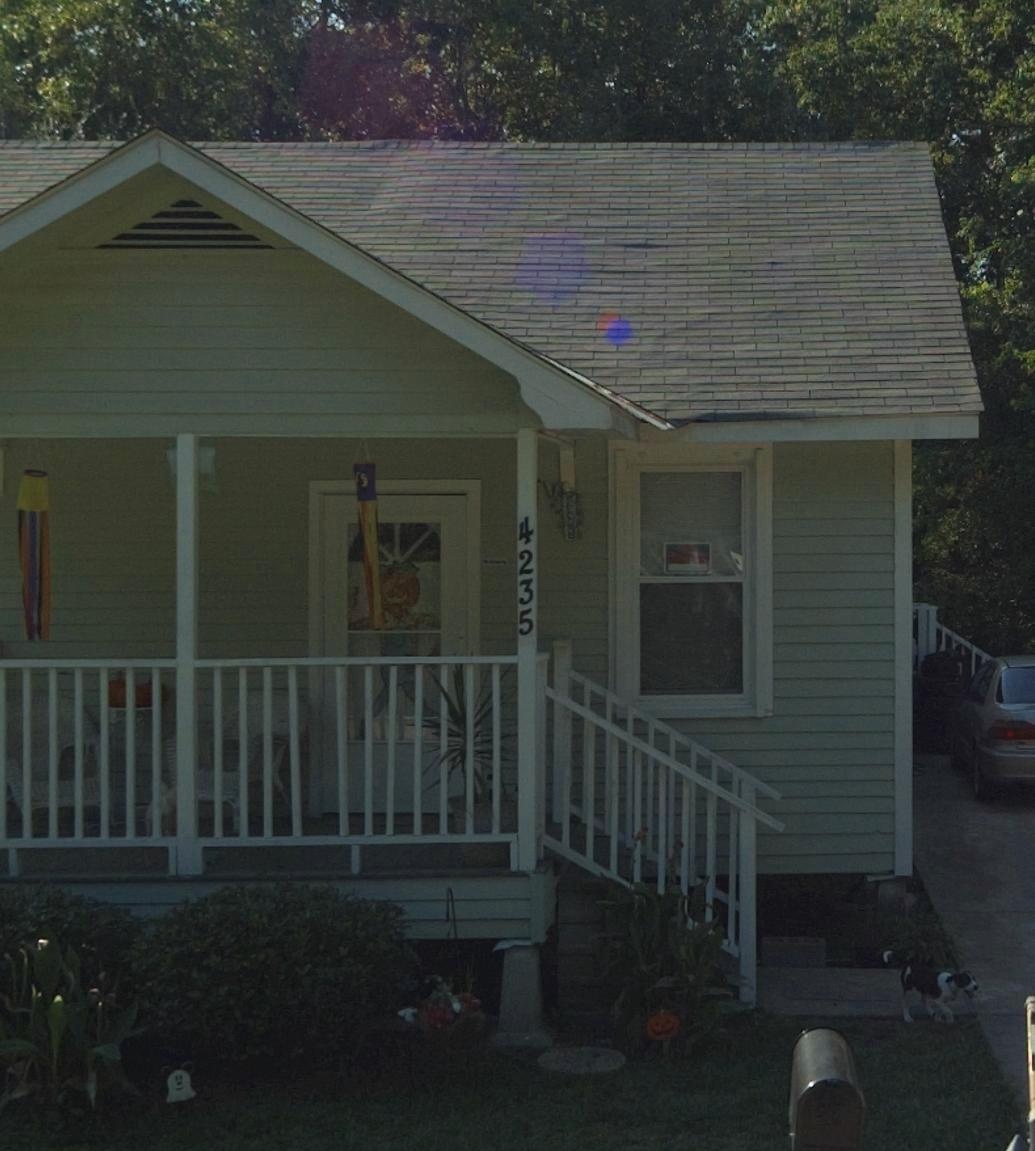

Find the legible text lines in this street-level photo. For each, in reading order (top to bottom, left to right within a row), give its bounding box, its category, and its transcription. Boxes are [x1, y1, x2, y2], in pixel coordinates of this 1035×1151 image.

[517, 515, 535, 637] StreetNumber: 4235